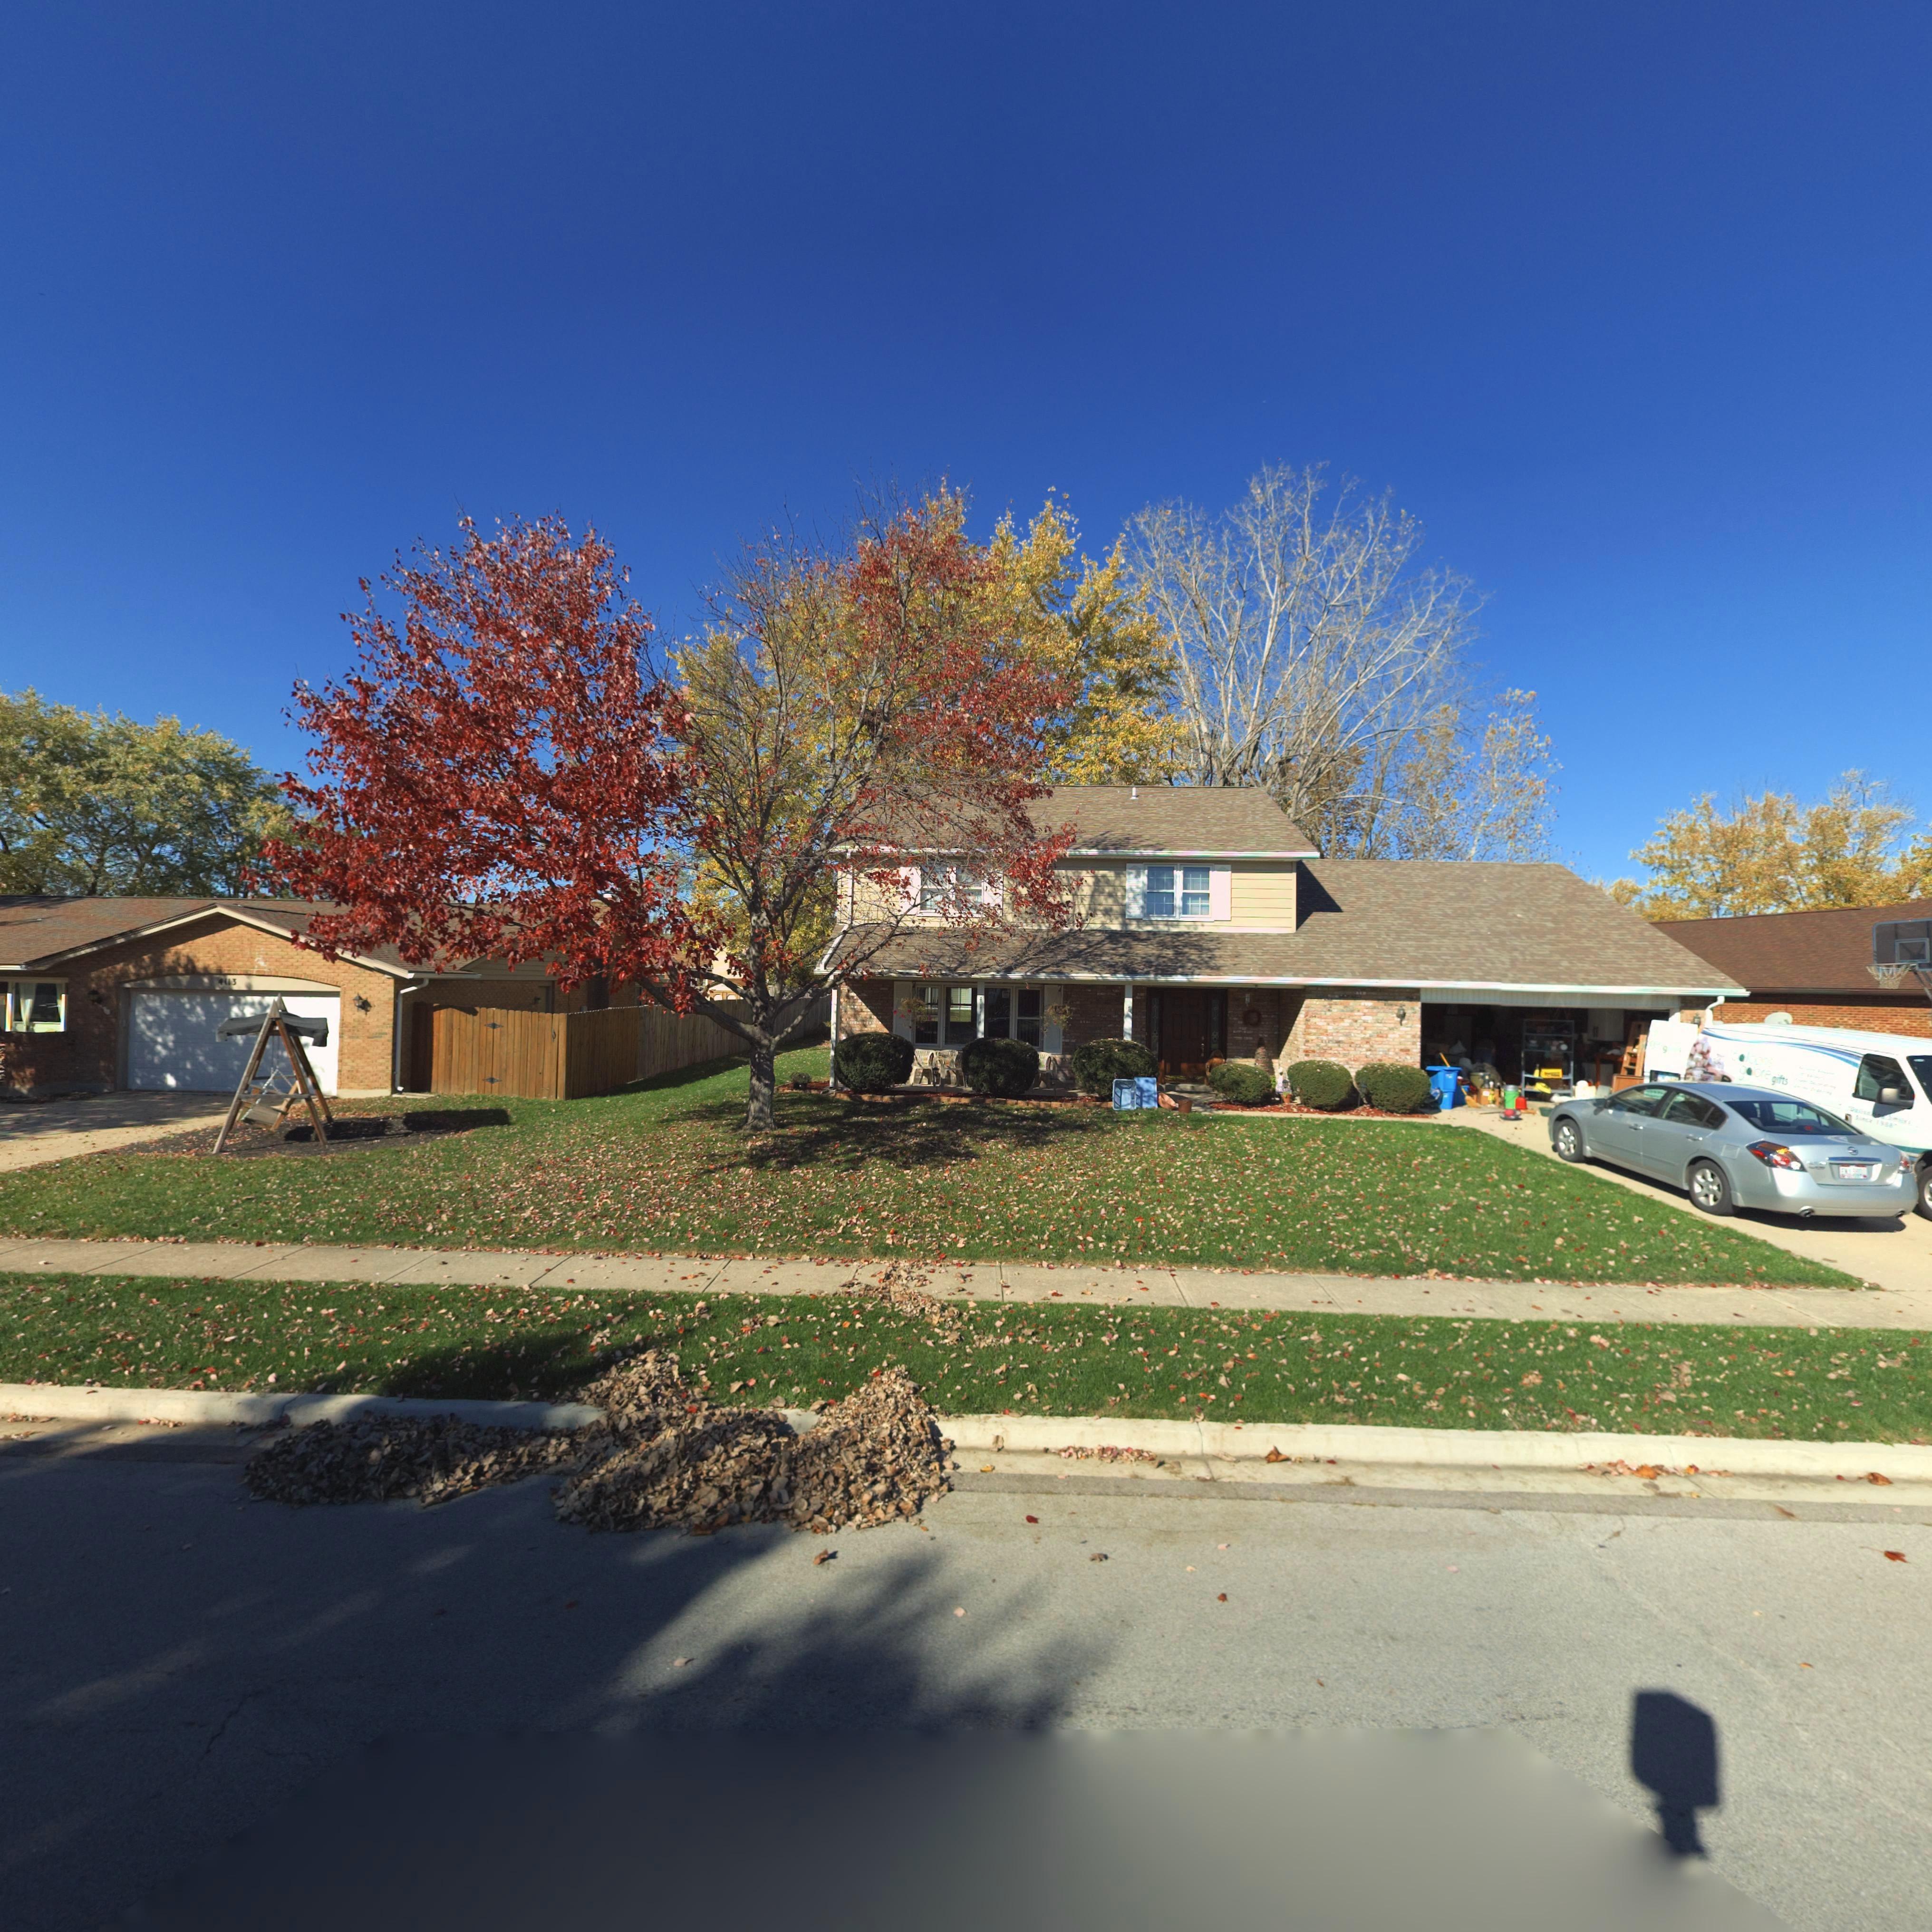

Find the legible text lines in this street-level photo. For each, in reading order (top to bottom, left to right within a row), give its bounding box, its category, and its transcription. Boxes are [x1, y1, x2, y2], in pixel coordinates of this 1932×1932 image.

[217, 977, 237, 985] StreetNumber: 4113
[978, 996, 983, 1024] StreetNumber: 4111